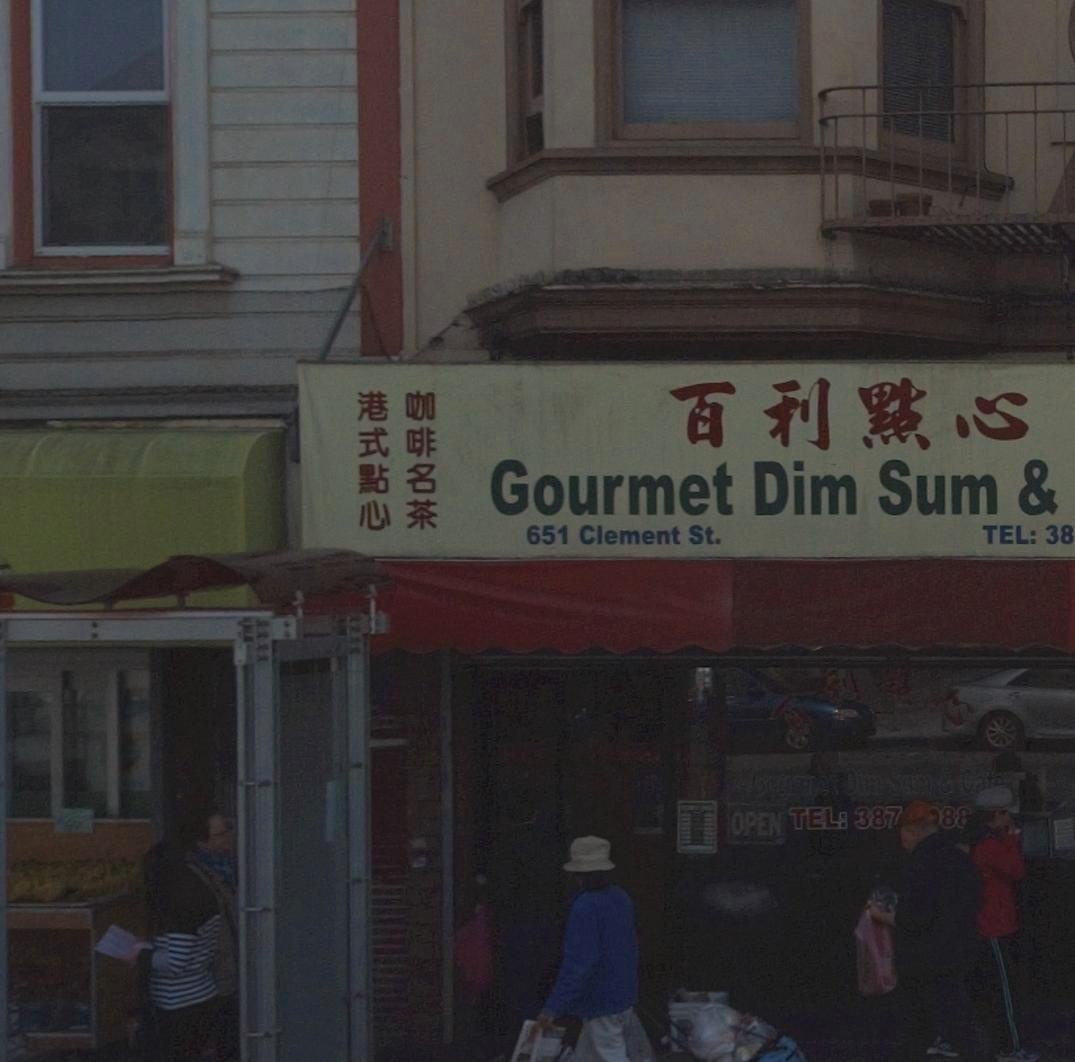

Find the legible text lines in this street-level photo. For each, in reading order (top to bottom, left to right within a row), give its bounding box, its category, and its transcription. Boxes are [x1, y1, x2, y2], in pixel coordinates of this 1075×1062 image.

[489, 457, 1059, 517] BusinessName: Gourmet Dim Sum &
[526, 523, 569, 546] StreetNumber: 651
[578, 524, 722, 546] StreetName: Clement St.
[981, 523, 1074, 545] None: TEL: 38
[729, 810, 783, 839] None: OPEN
[788, 805, 904, 831] None: TEL: 387
[940, 807, 957, 829] None: 8